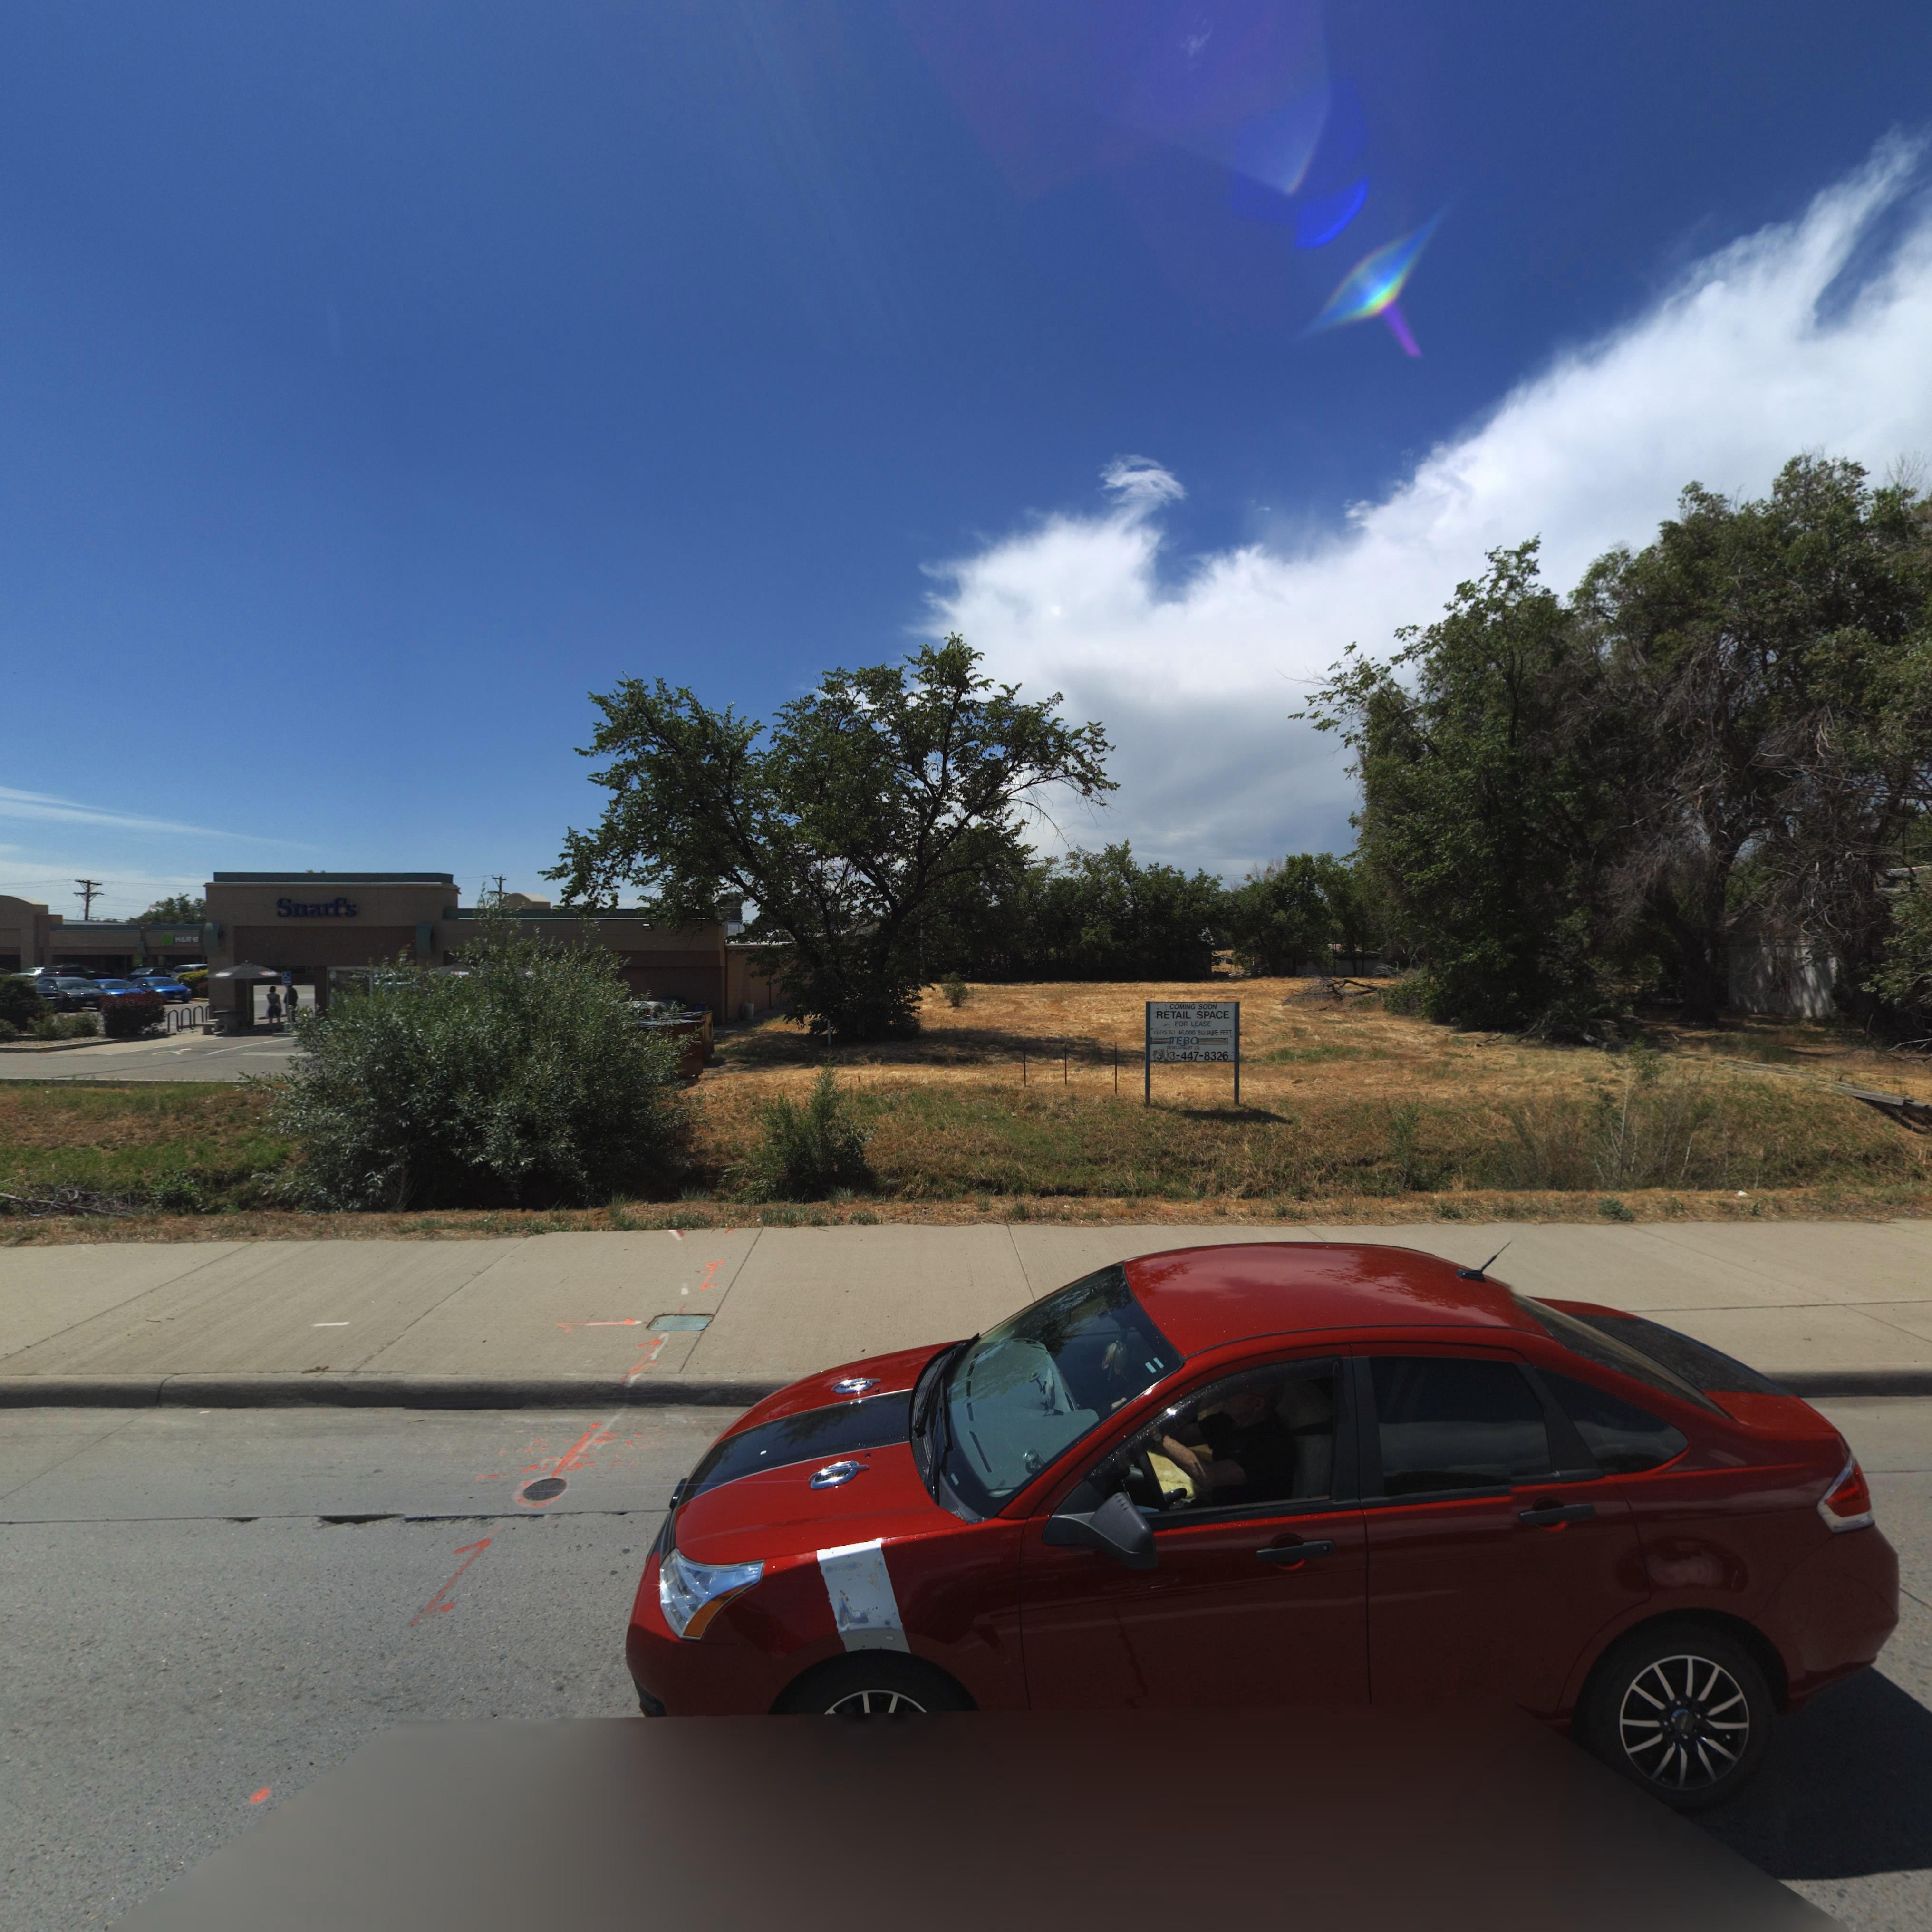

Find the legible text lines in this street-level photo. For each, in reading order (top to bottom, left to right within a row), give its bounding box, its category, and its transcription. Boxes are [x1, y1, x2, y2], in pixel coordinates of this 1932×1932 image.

[275, 896, 359, 918] BusinessName: Snarf's
[174, 936, 199, 942] BusinessName: H&R B